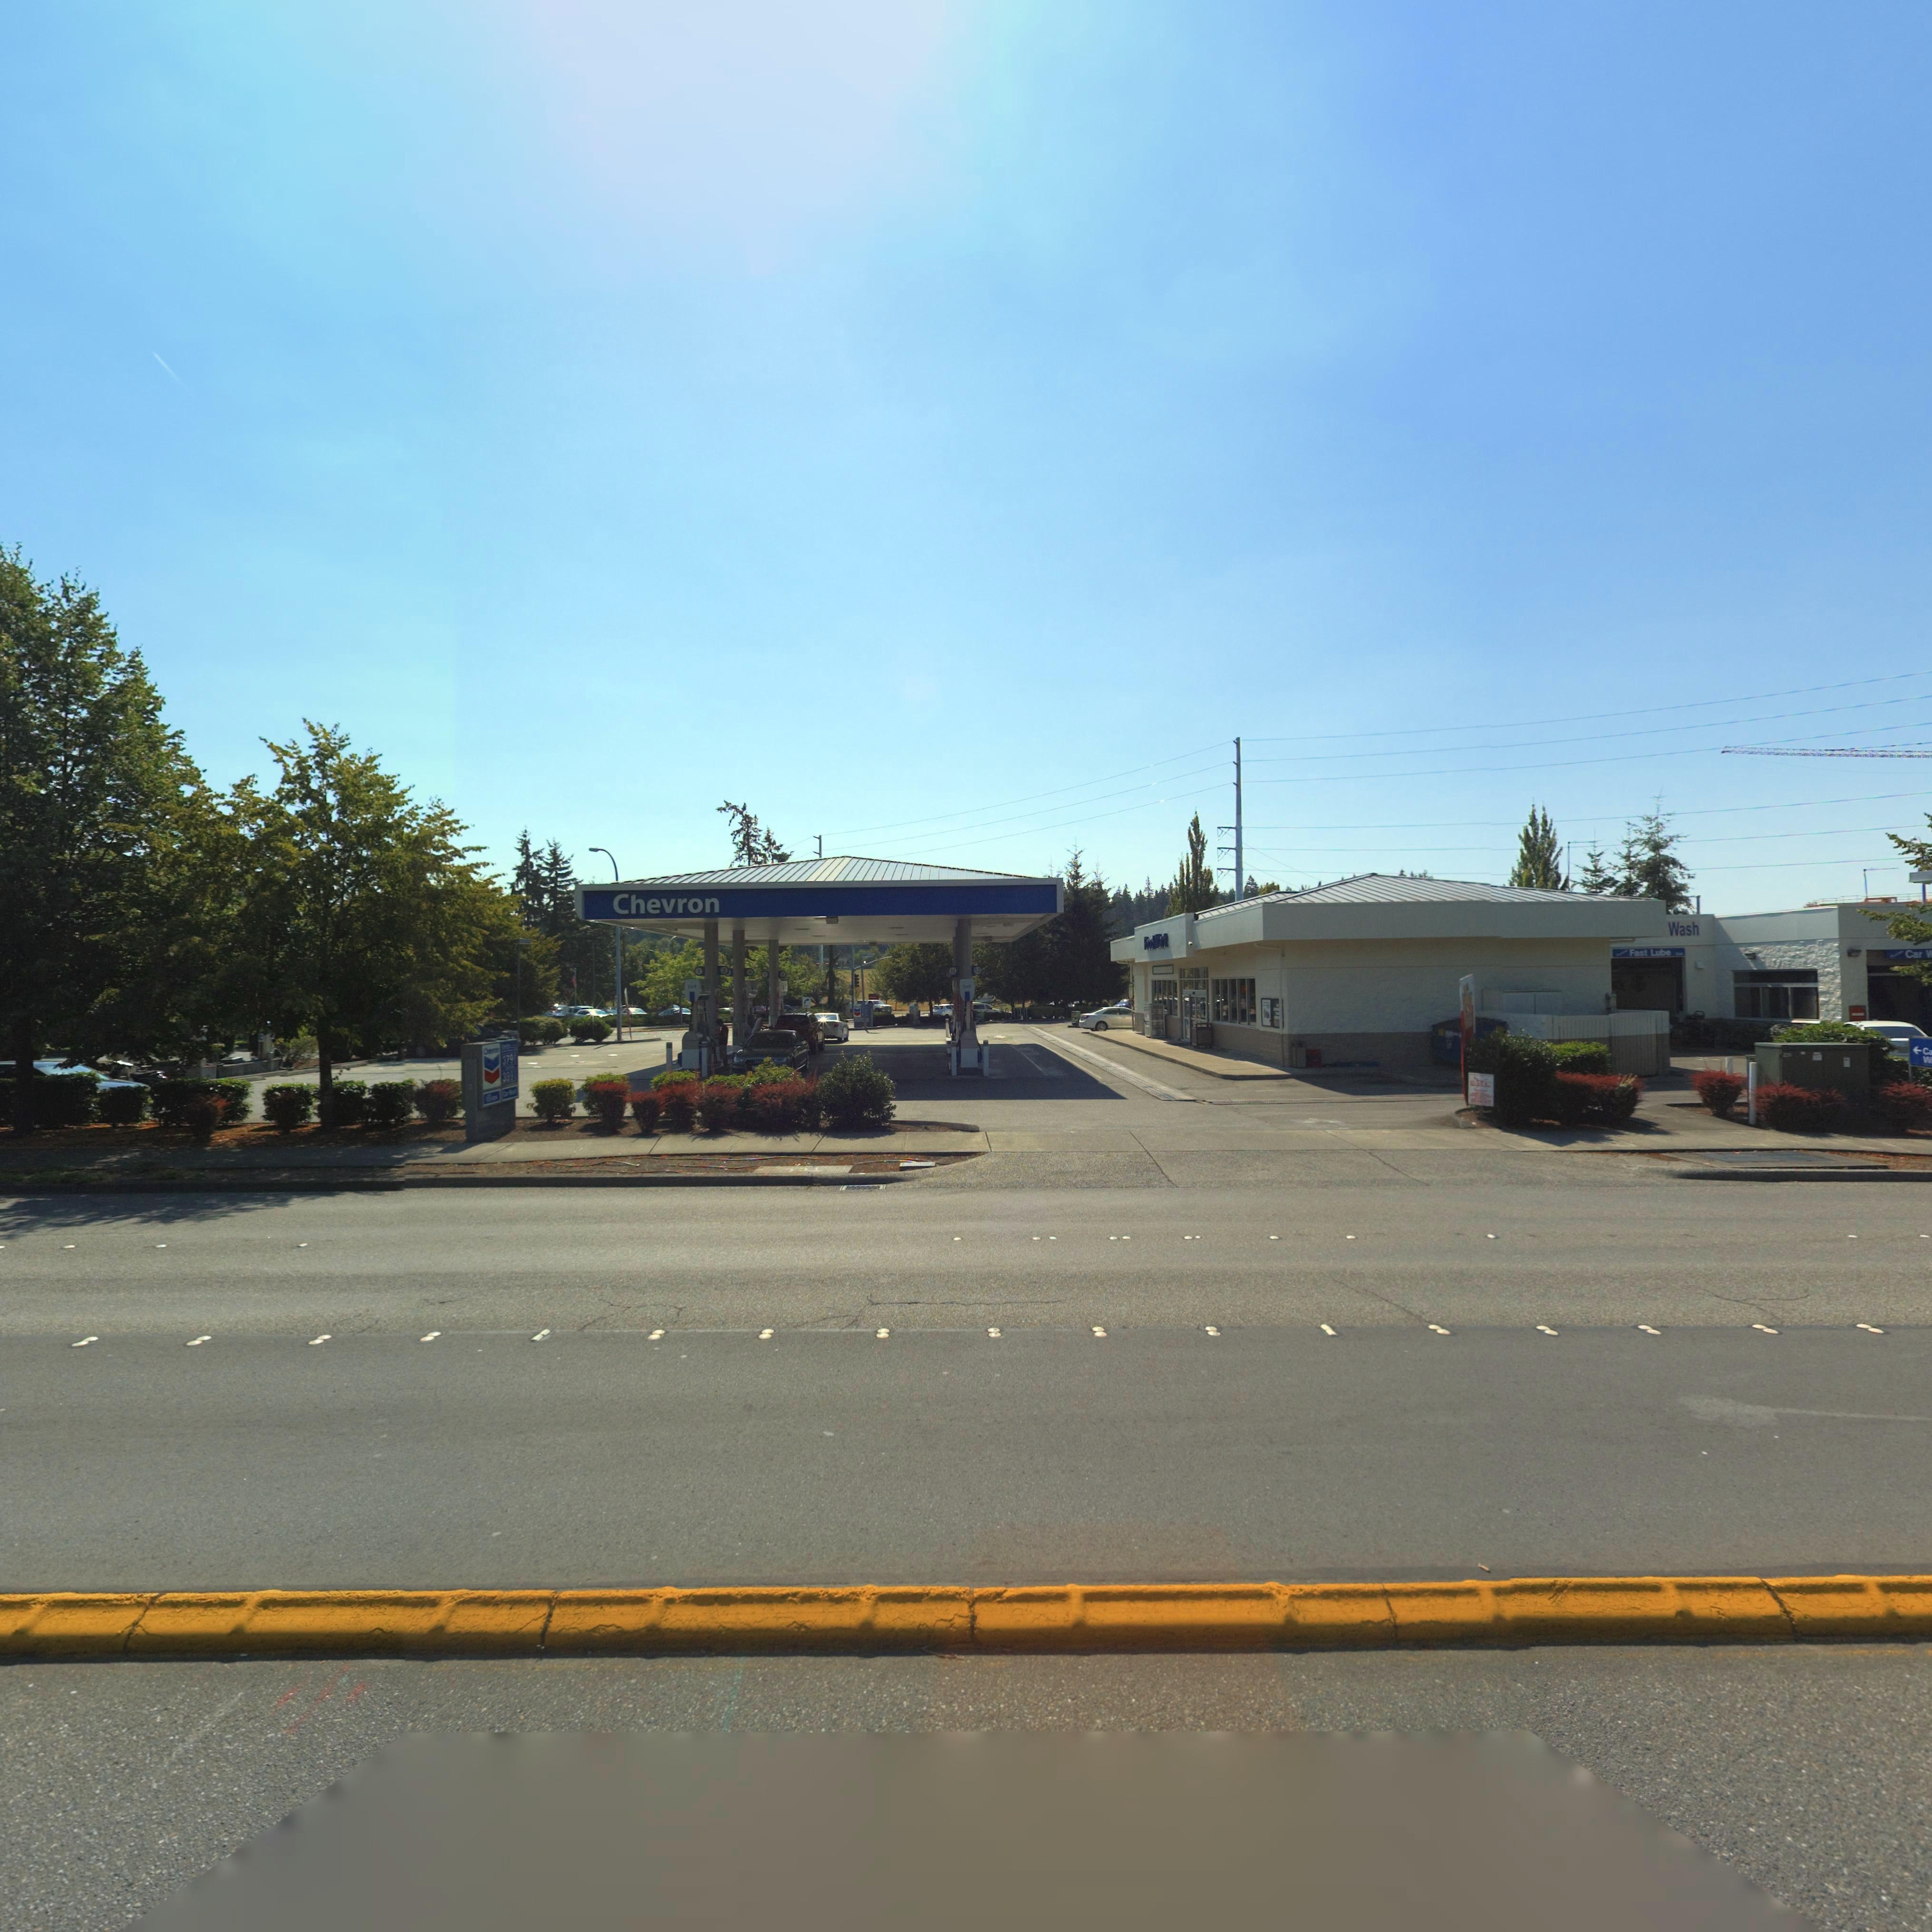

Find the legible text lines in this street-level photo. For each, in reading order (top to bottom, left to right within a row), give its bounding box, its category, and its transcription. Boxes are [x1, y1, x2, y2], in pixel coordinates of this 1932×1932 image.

[613, 894, 718, 914] BusinessName: Chevron